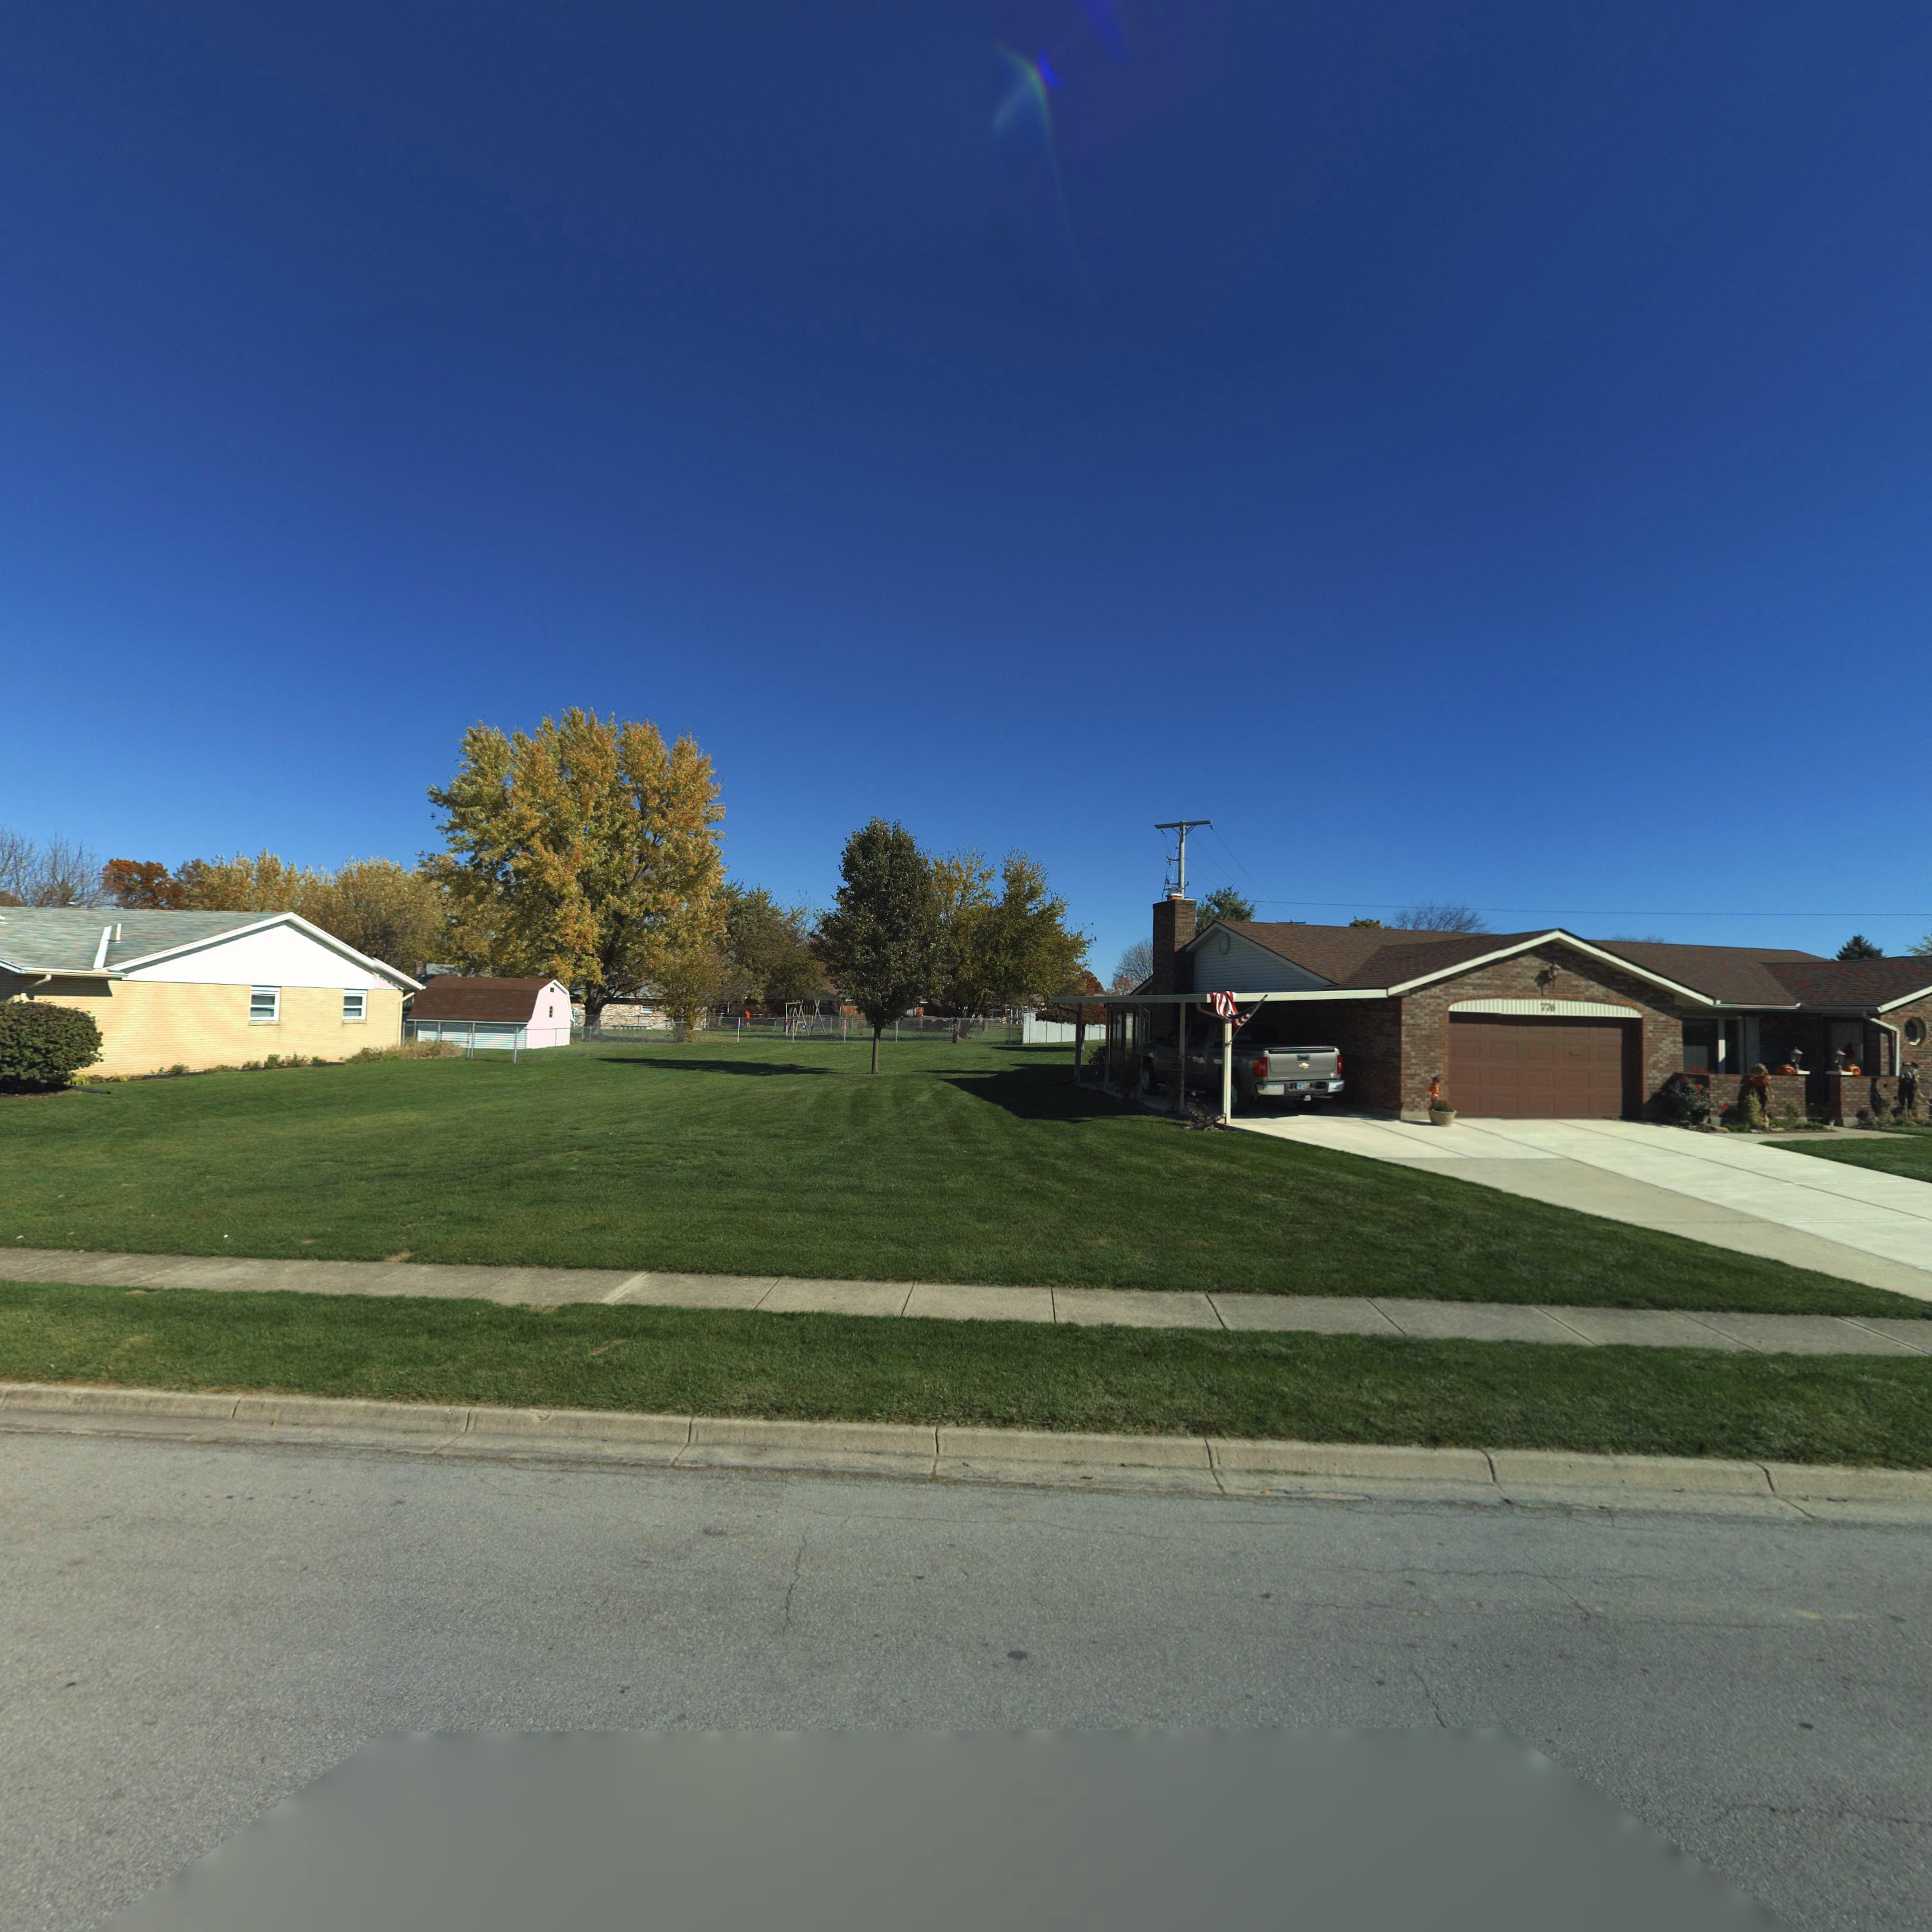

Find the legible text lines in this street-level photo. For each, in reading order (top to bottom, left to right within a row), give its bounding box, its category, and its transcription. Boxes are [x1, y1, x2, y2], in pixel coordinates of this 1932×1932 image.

[1540, 1002, 1556, 1012] StreetNumber: 776